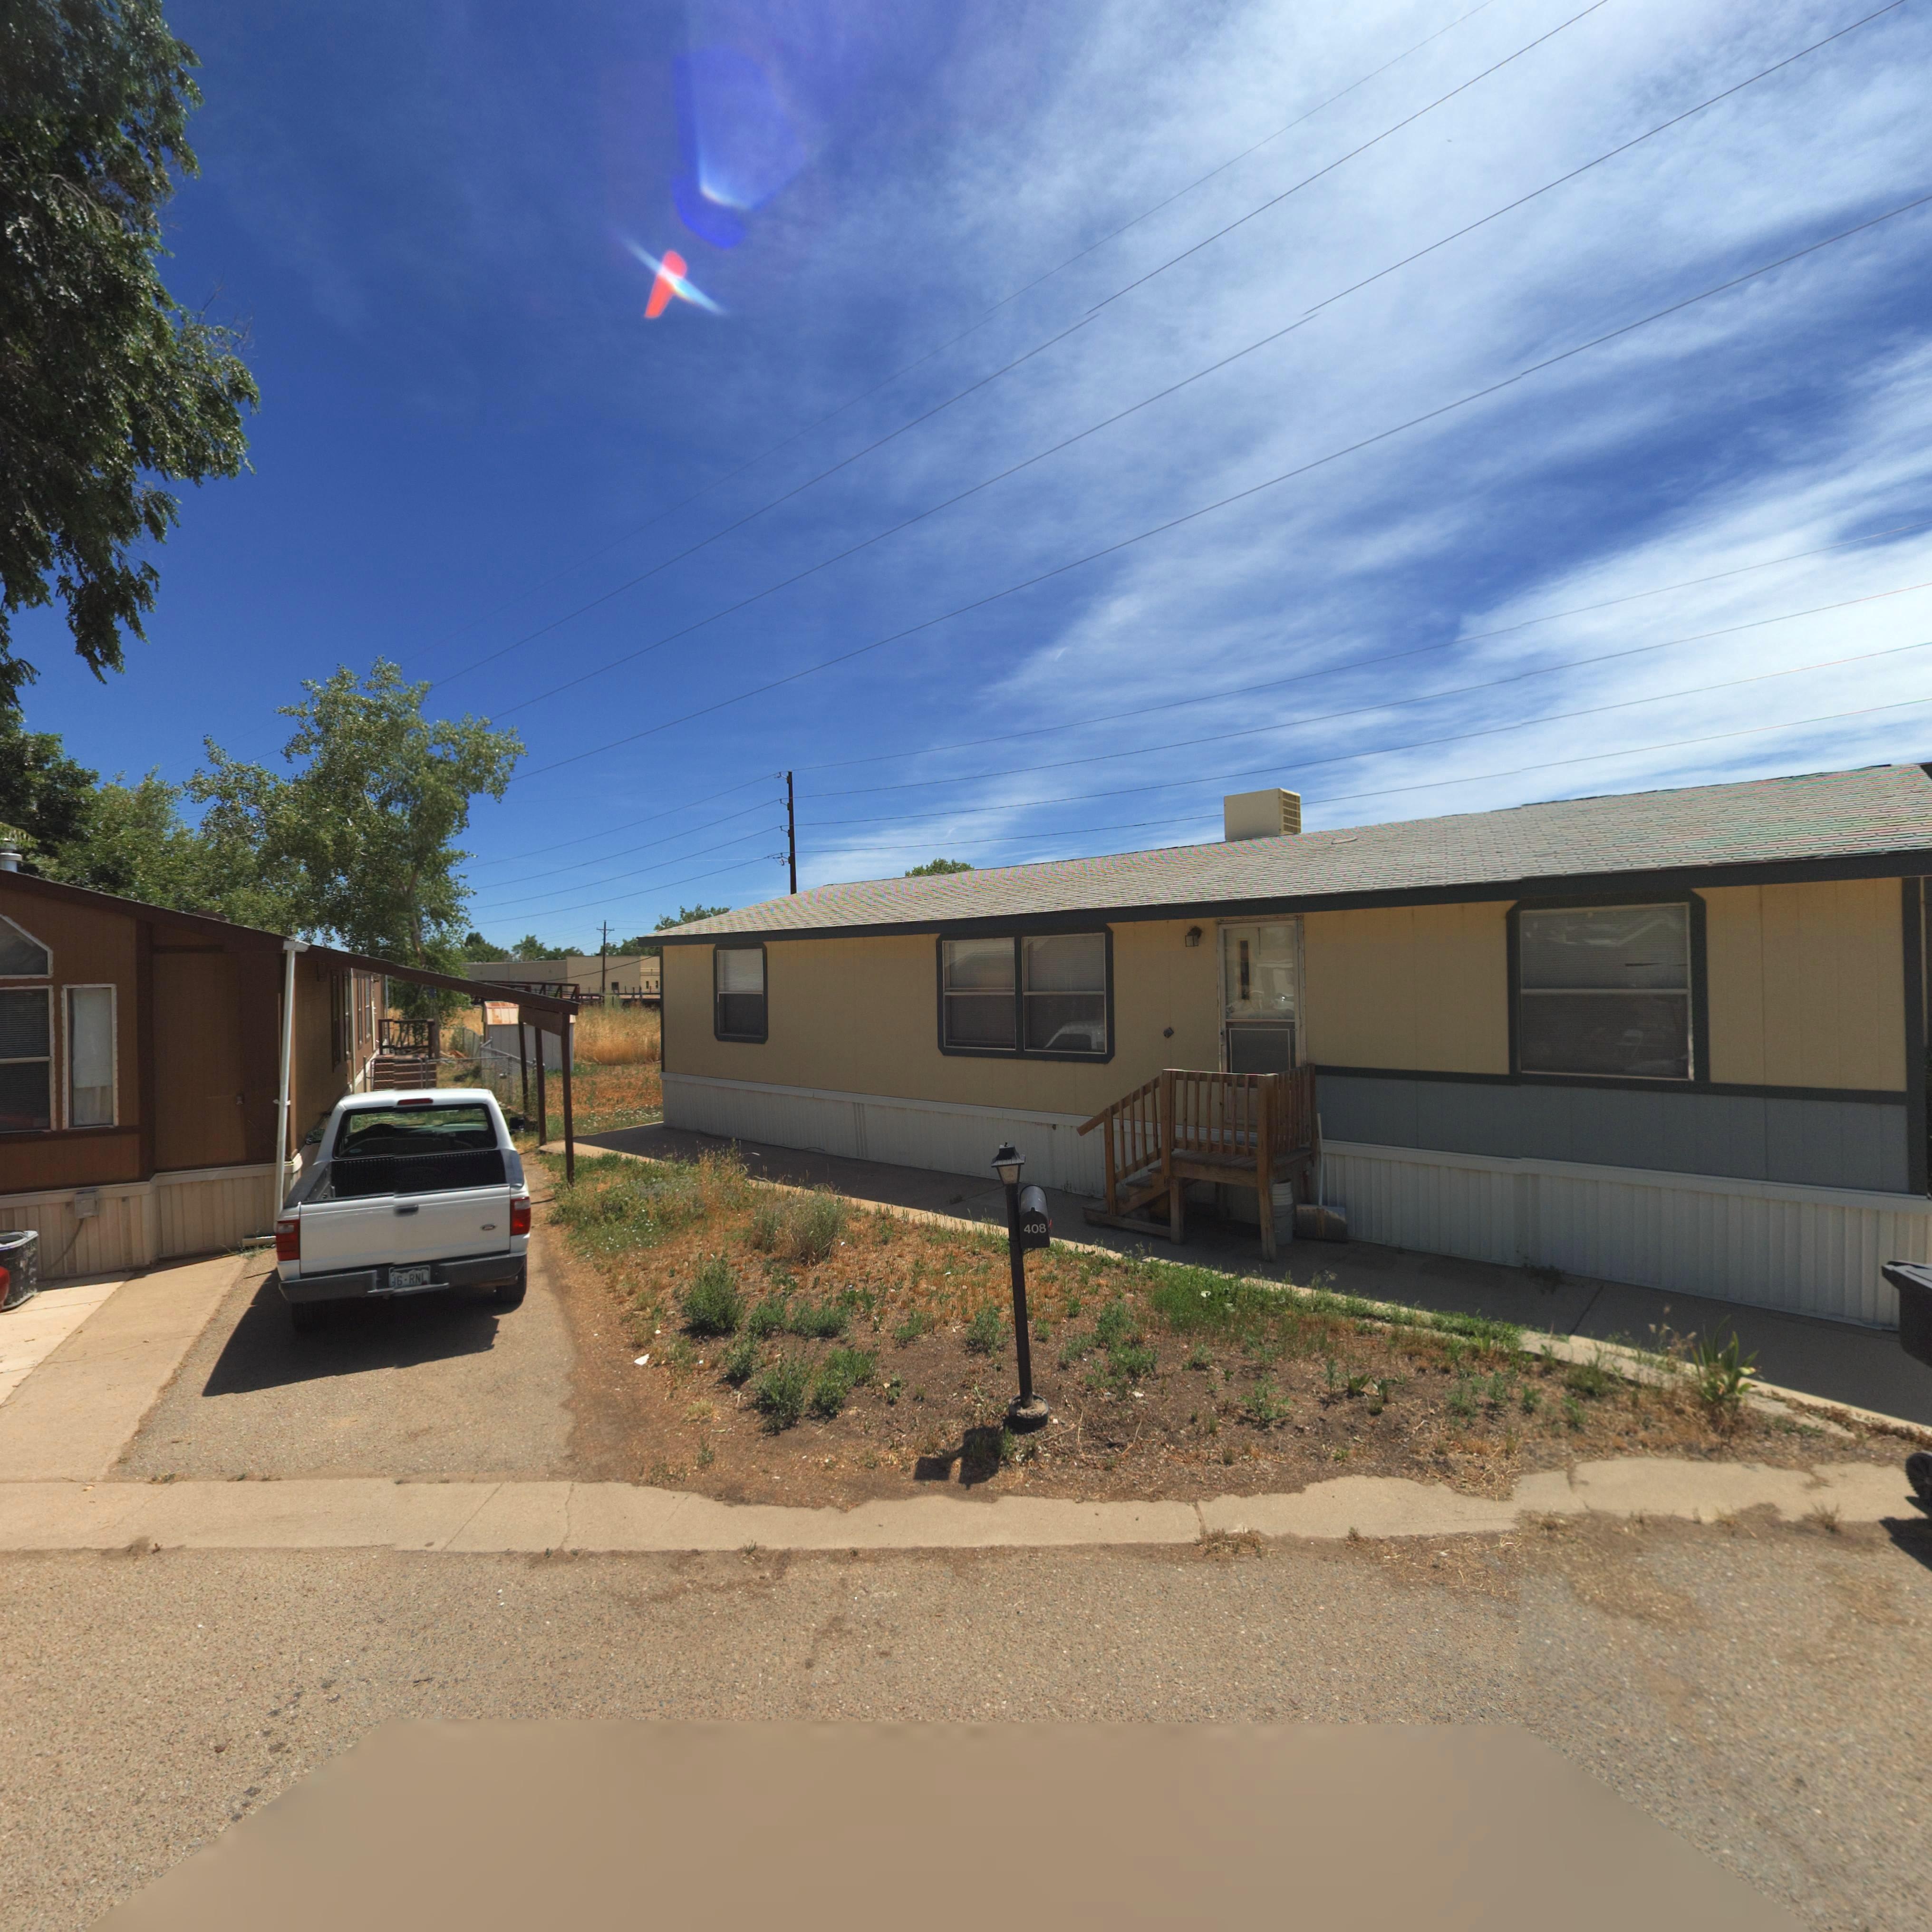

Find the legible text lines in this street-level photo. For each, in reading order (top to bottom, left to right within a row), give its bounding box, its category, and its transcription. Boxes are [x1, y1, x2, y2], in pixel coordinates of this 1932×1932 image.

[1024, 1223, 1046, 1234] StreetNumber: 408